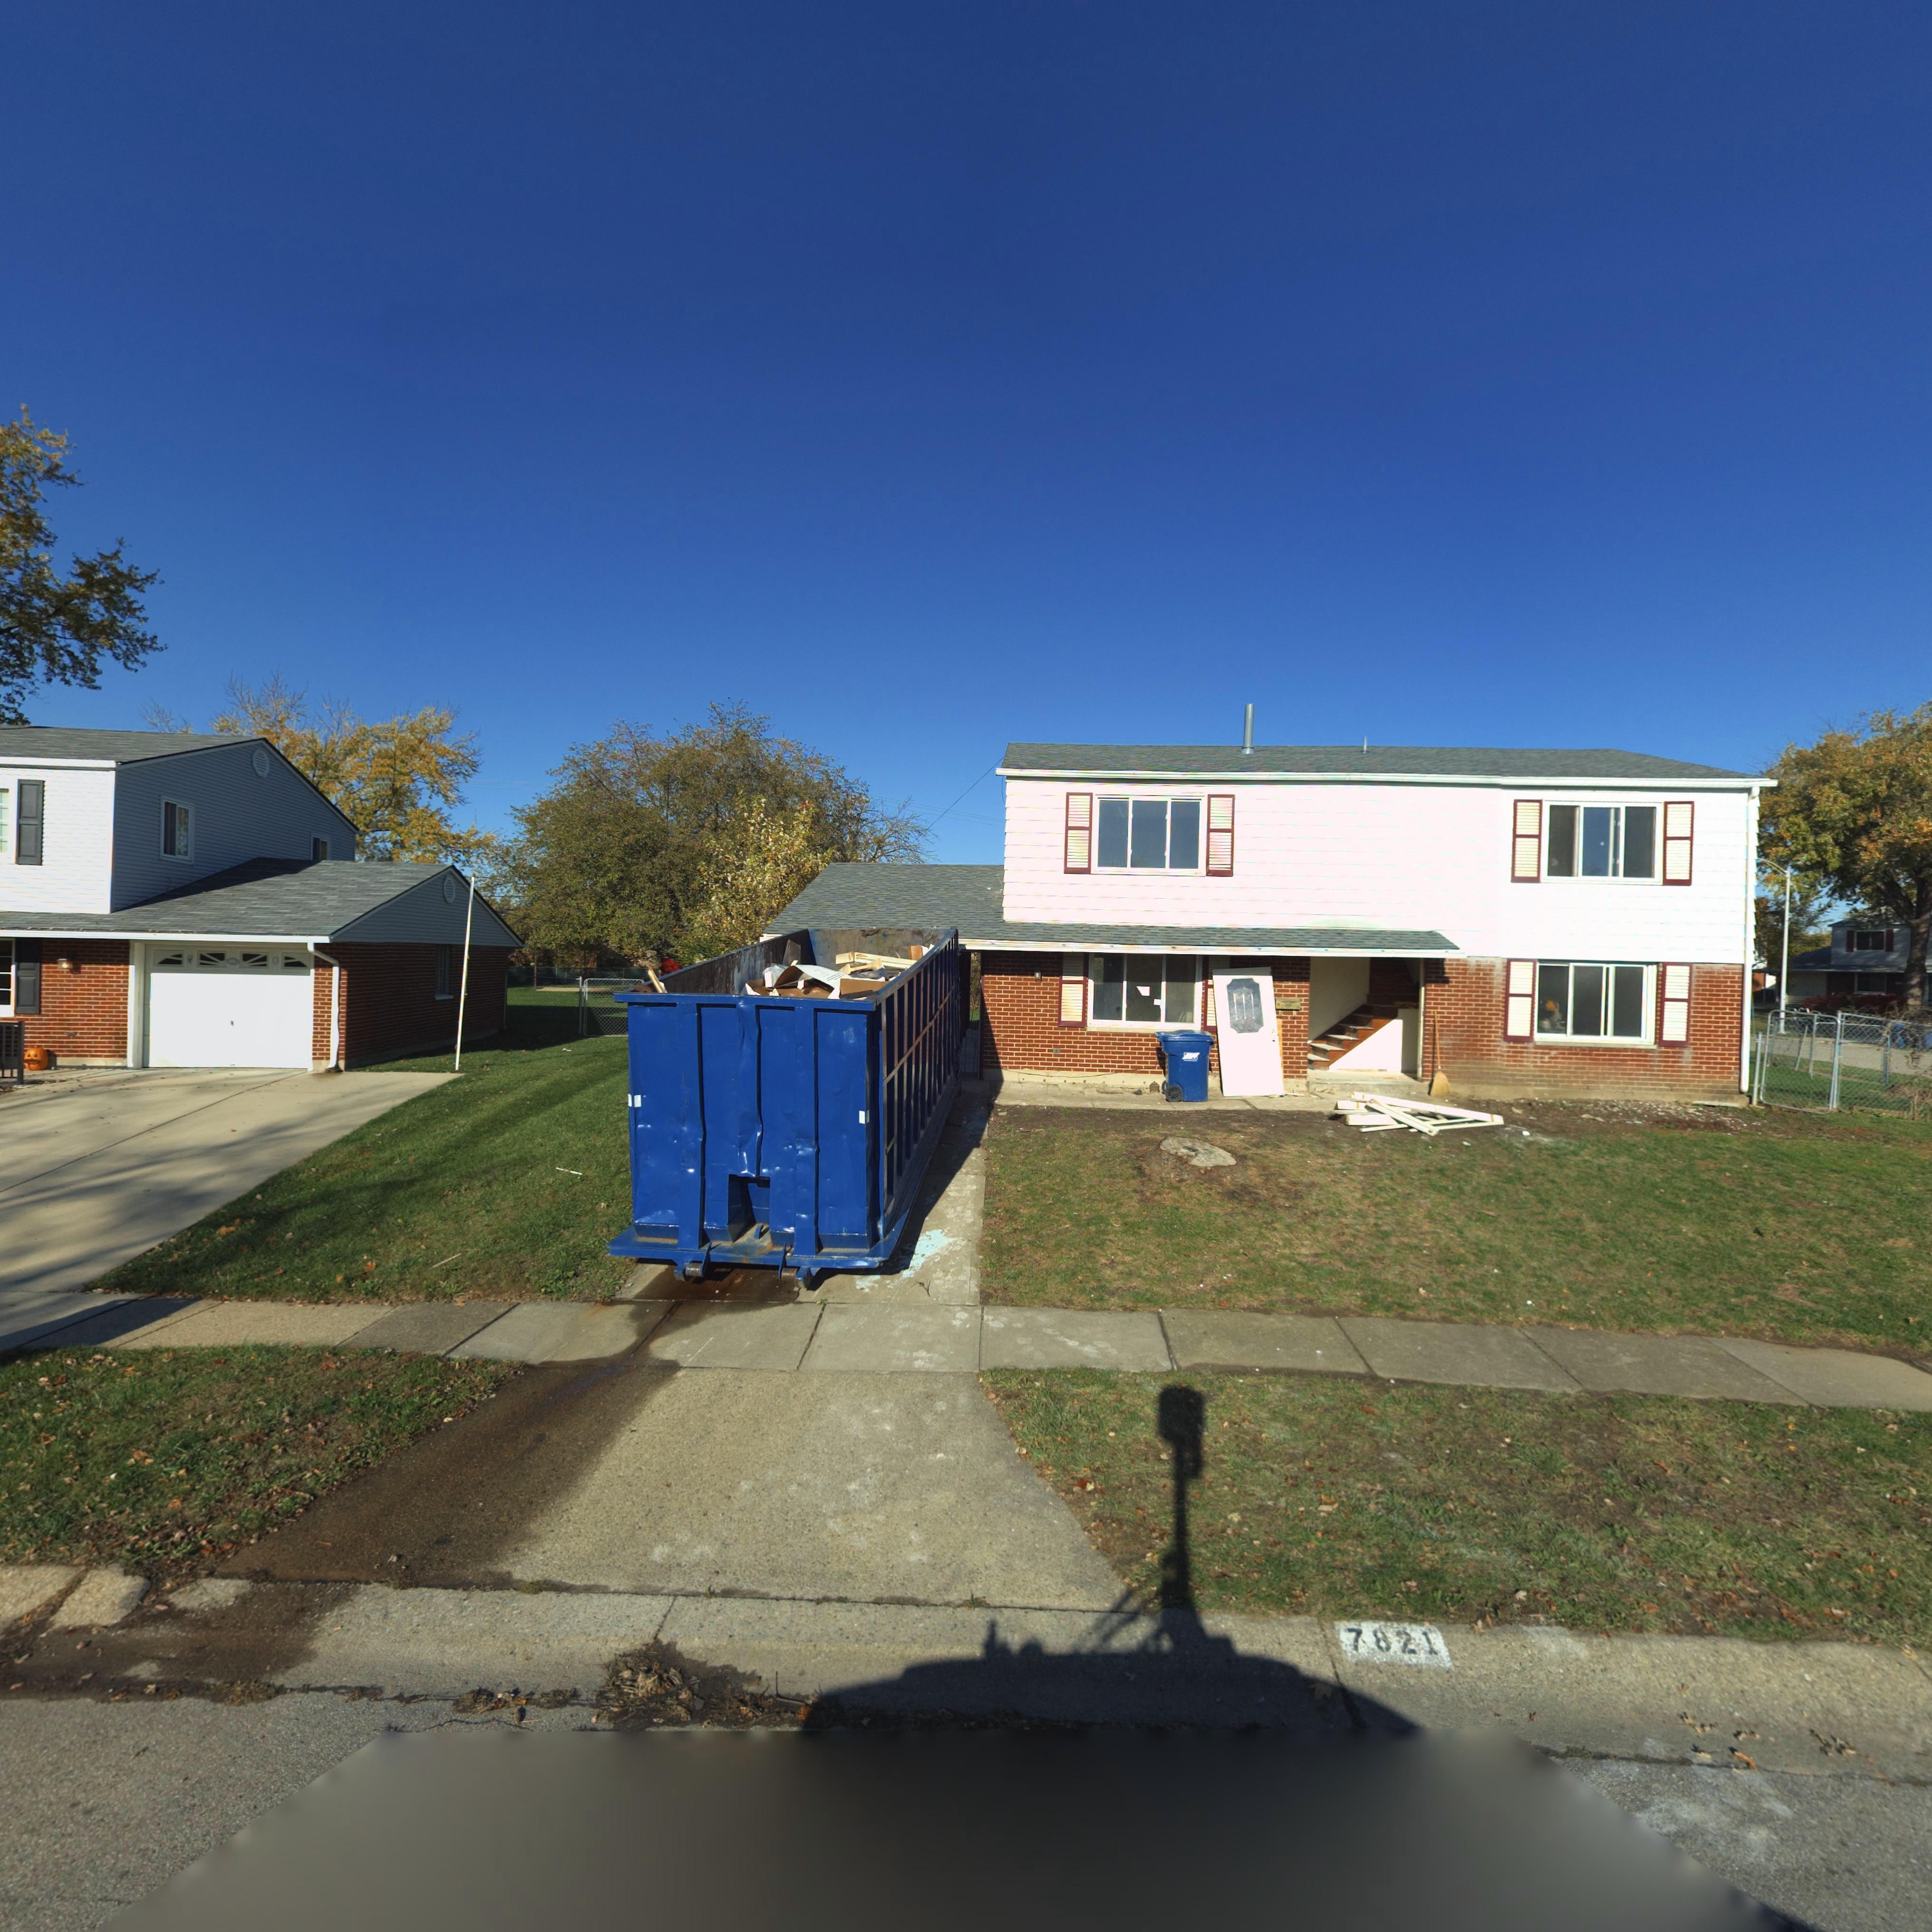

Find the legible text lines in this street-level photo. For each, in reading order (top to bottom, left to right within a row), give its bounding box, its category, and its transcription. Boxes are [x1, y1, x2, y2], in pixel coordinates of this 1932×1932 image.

[1343, 1626, 1440, 1657] StreetNumber: 7821